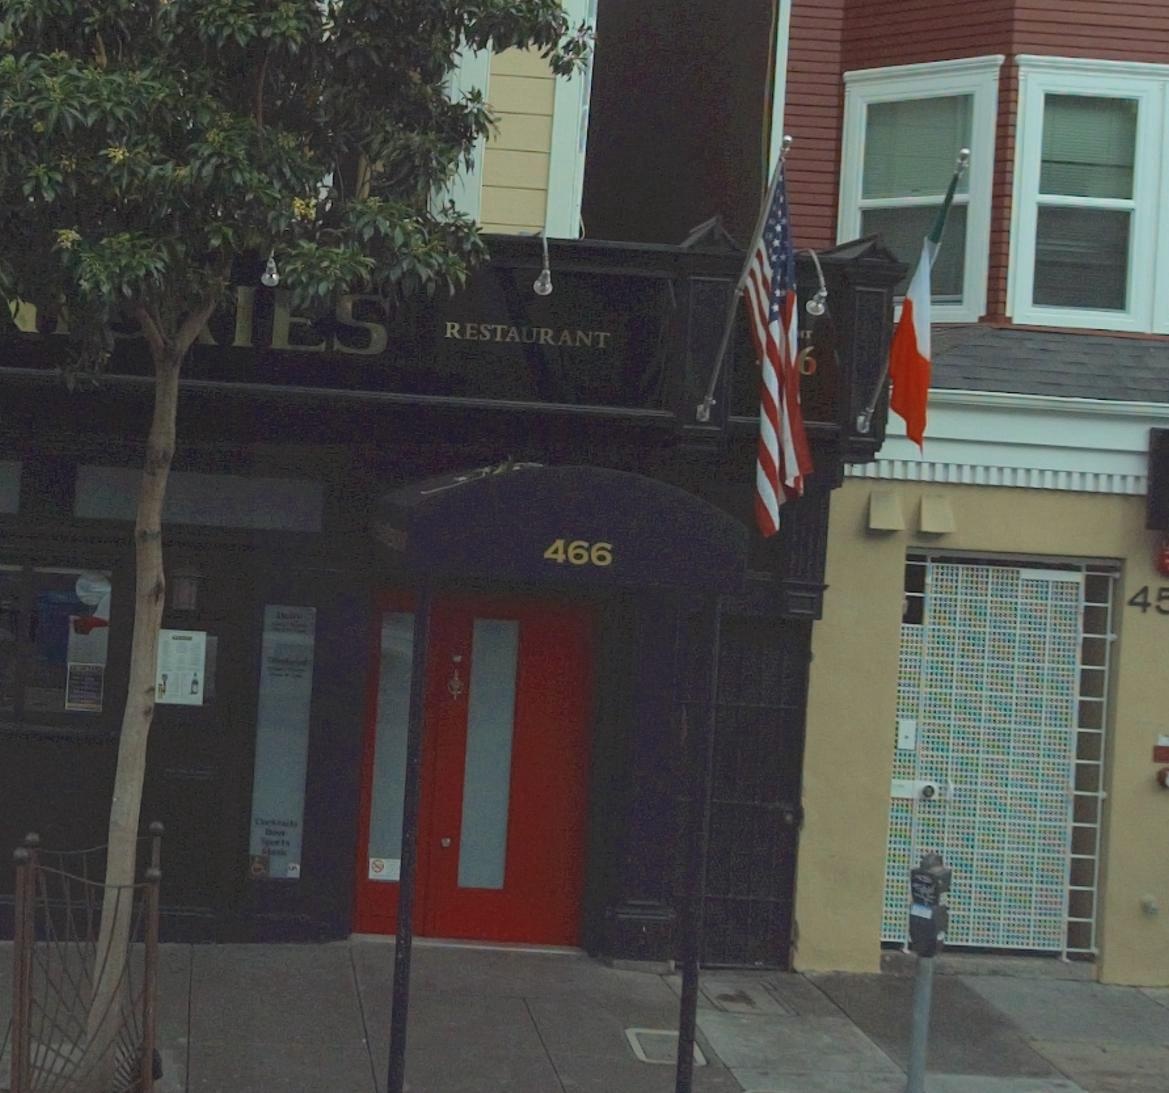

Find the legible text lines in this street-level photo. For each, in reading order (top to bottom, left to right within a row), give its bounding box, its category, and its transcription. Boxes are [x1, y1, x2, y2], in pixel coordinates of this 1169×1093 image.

[225, 276, 401, 363] BusinessName: I*S
[440, 317, 614, 352] BusinessName: RESTAURANT
[803, 327, 815, 341] StreetName: T
[795, 343, 820, 379] StreetNumber: 6
[539, 535, 615, 569] StreetNumber: 466
[1124, 582, 1154, 617] StreetNumber: 4